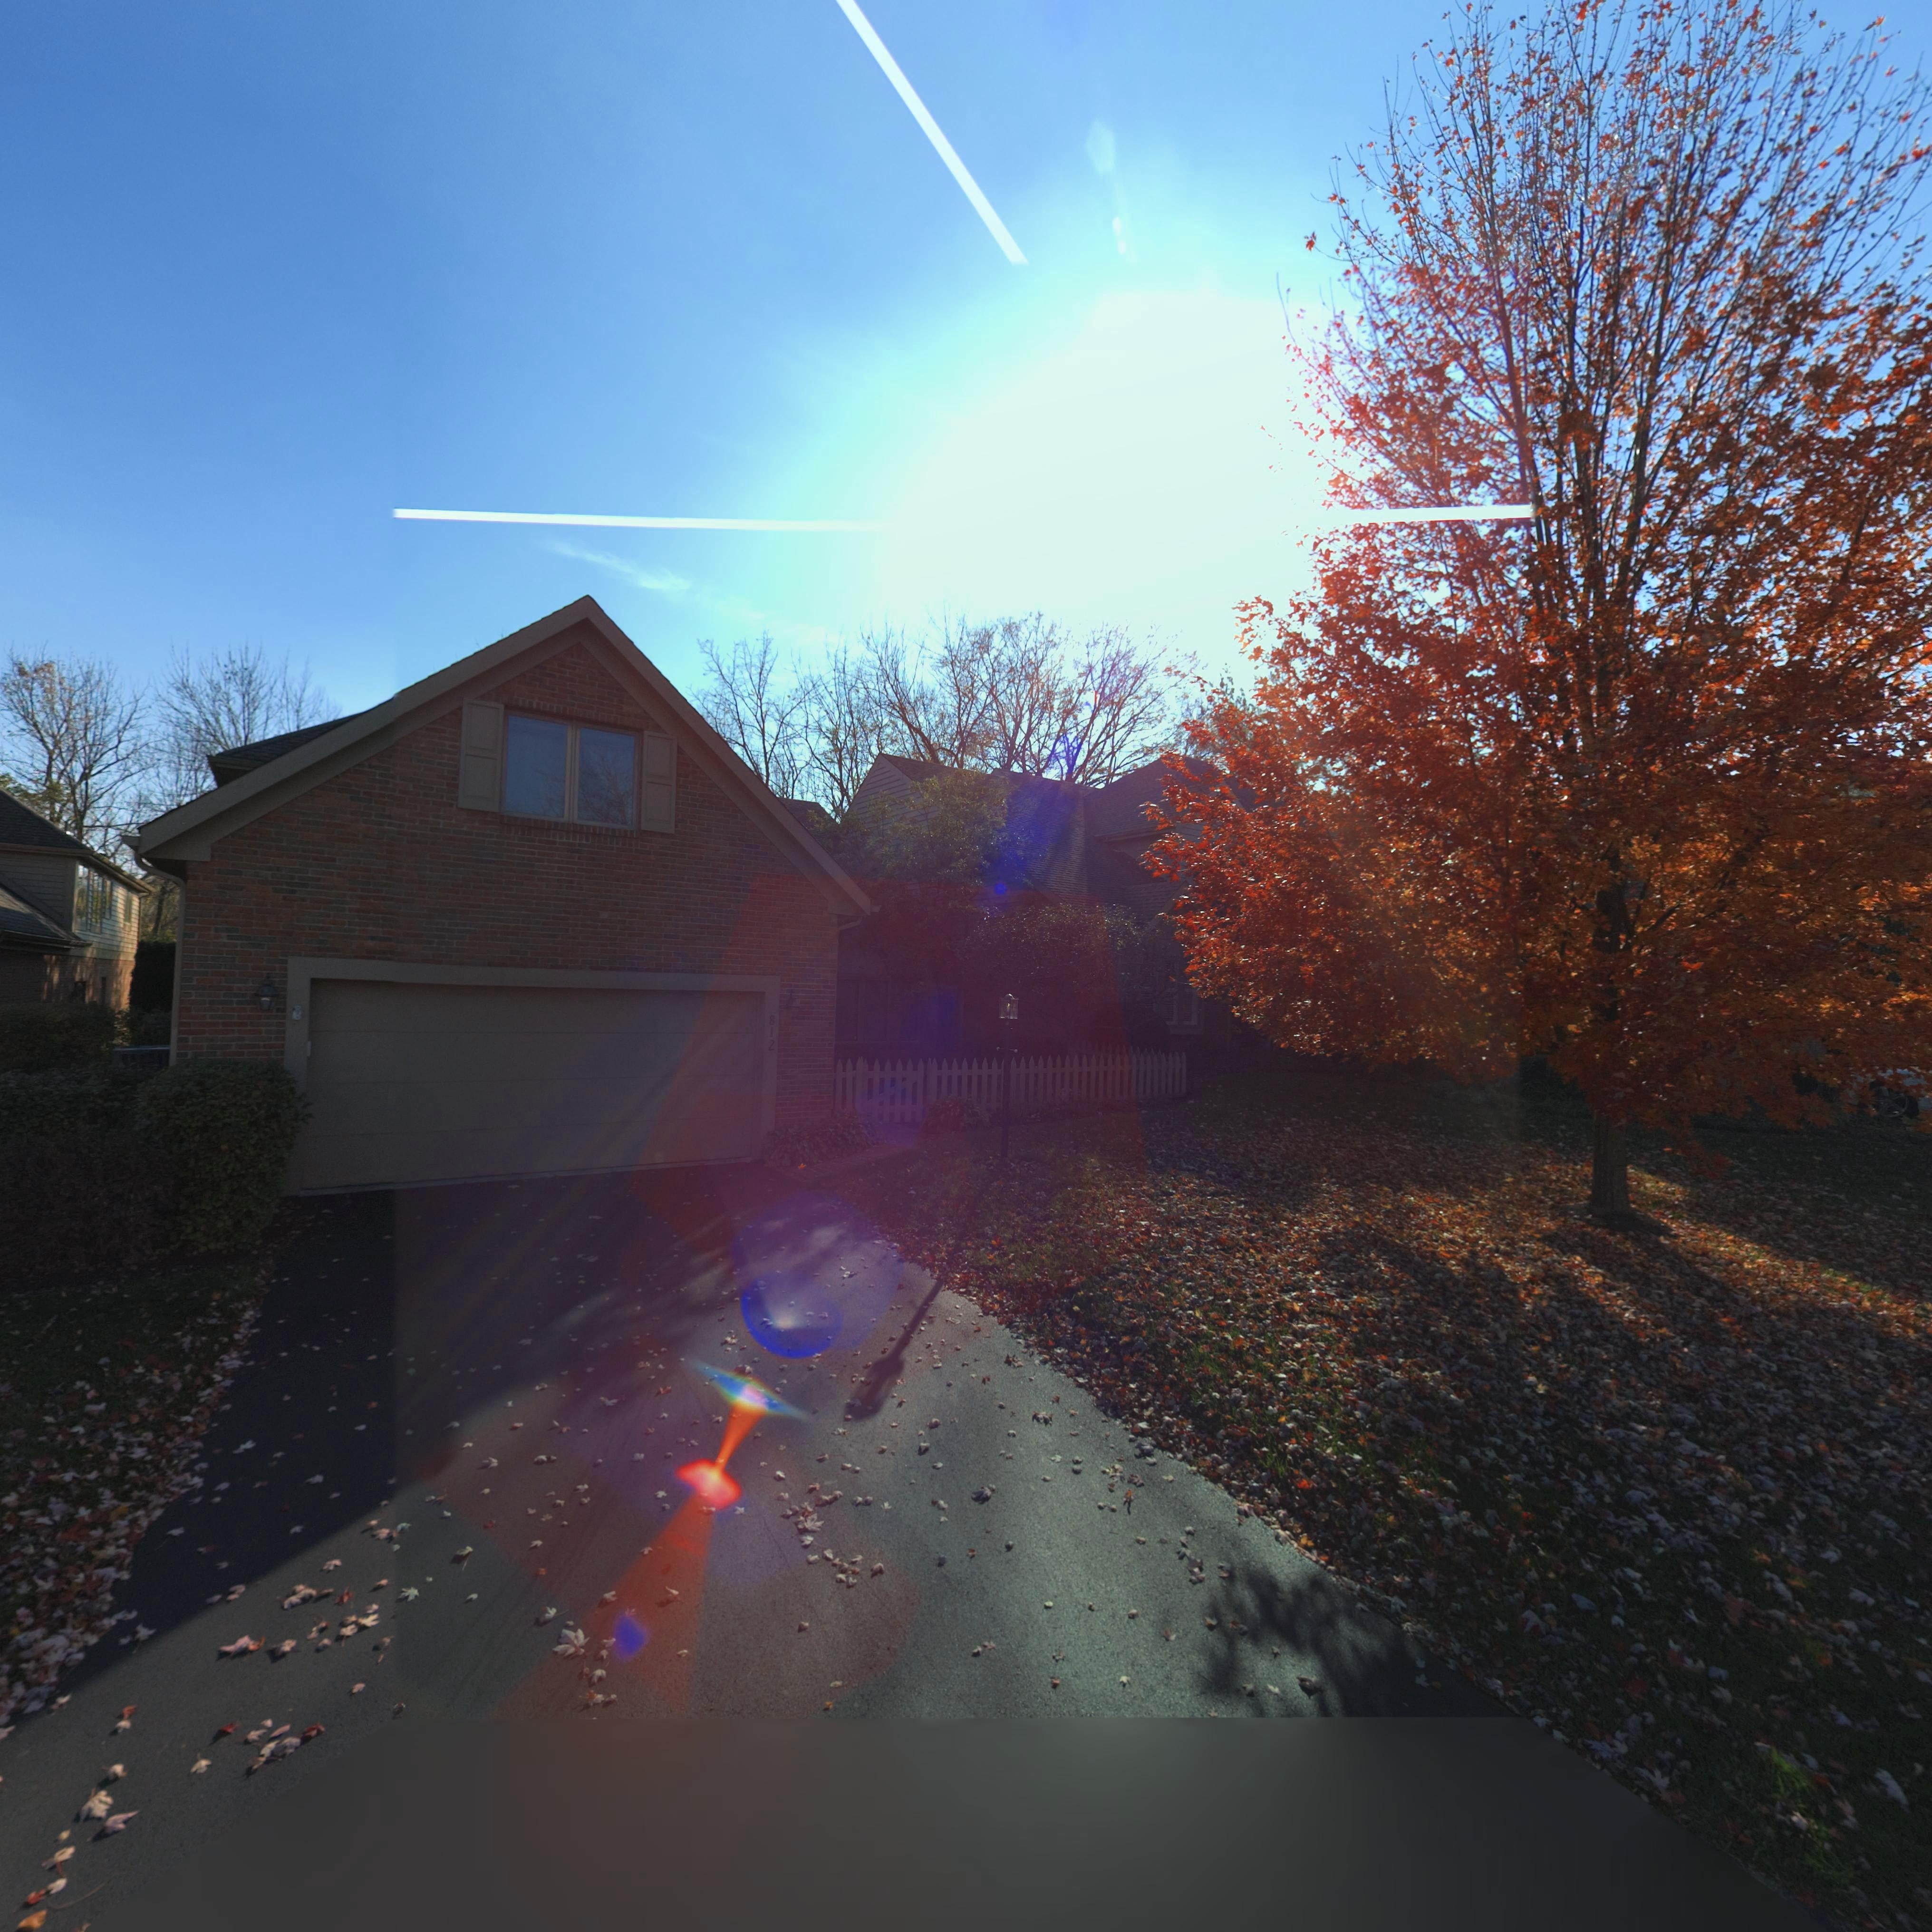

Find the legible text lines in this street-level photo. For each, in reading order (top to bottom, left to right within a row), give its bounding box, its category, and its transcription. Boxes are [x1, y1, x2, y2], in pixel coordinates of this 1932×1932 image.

[767, 1014, 775, 1052] StreetNumber: 812